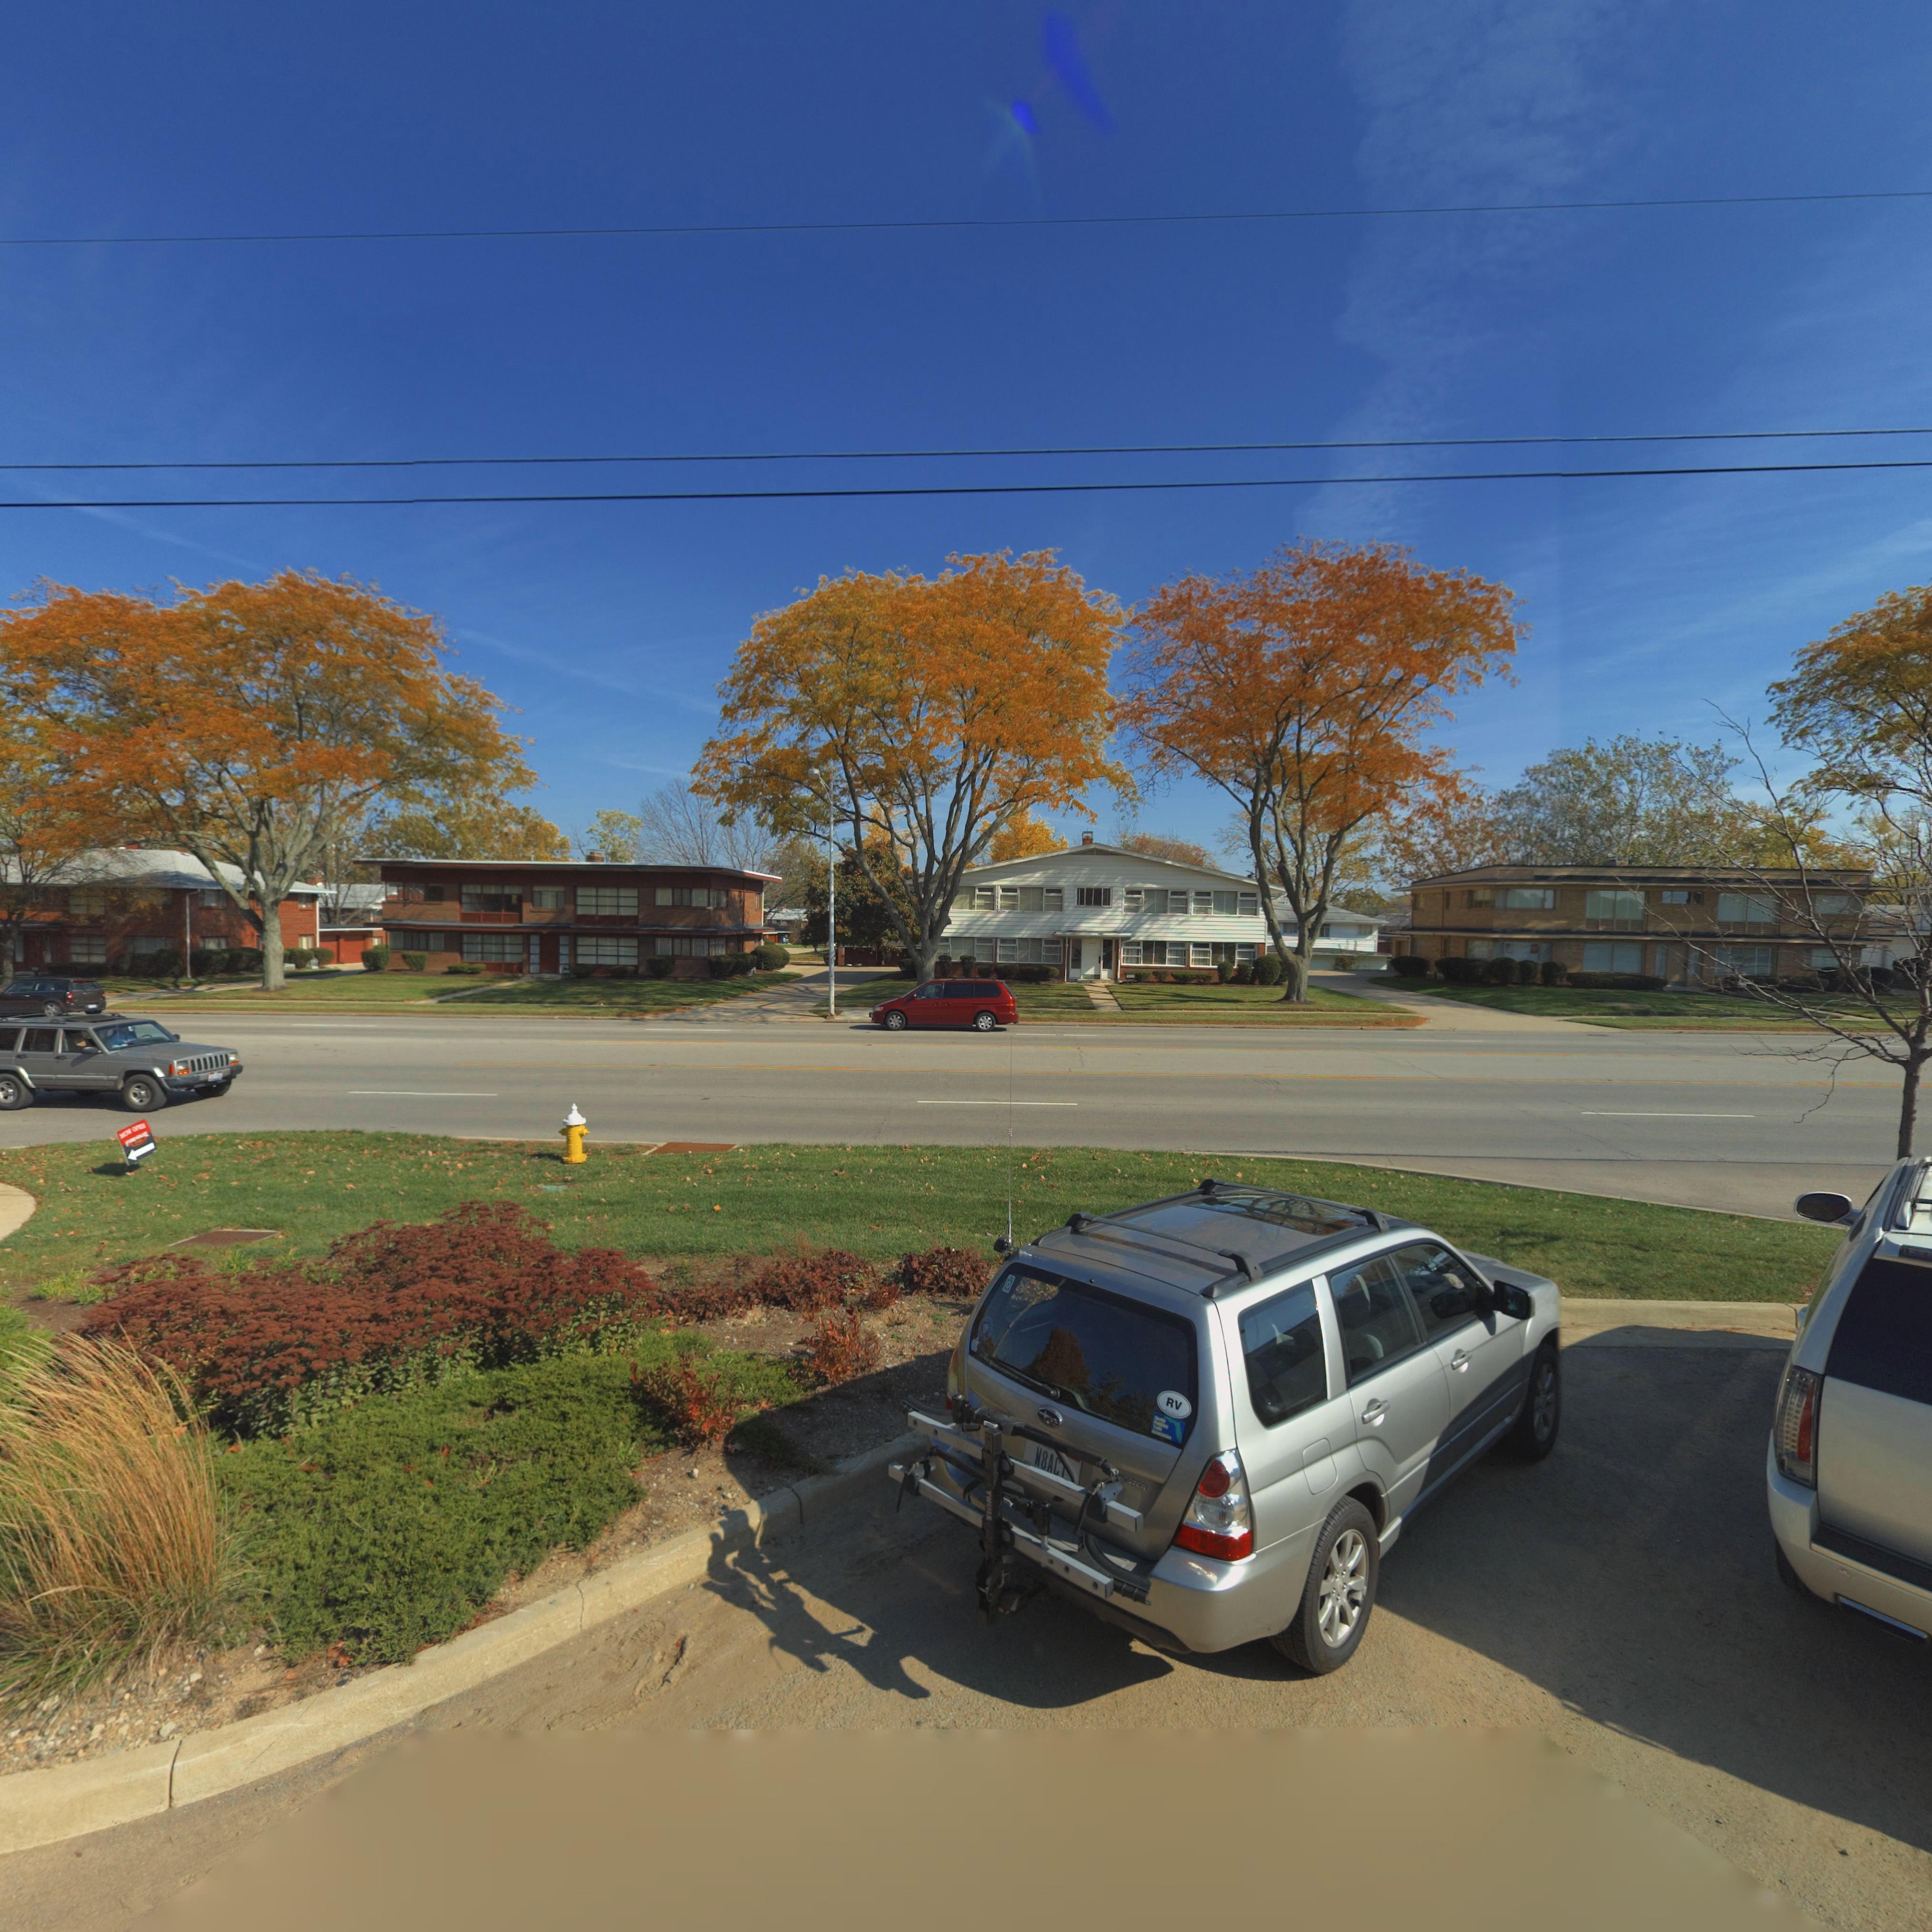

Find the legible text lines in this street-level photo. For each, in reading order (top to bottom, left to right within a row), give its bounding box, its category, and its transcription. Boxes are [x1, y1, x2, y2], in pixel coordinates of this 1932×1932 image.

[1125, 974, 1135, 979] StreetNumber: **00
[1005, 1279, 1013, 1290] None: O